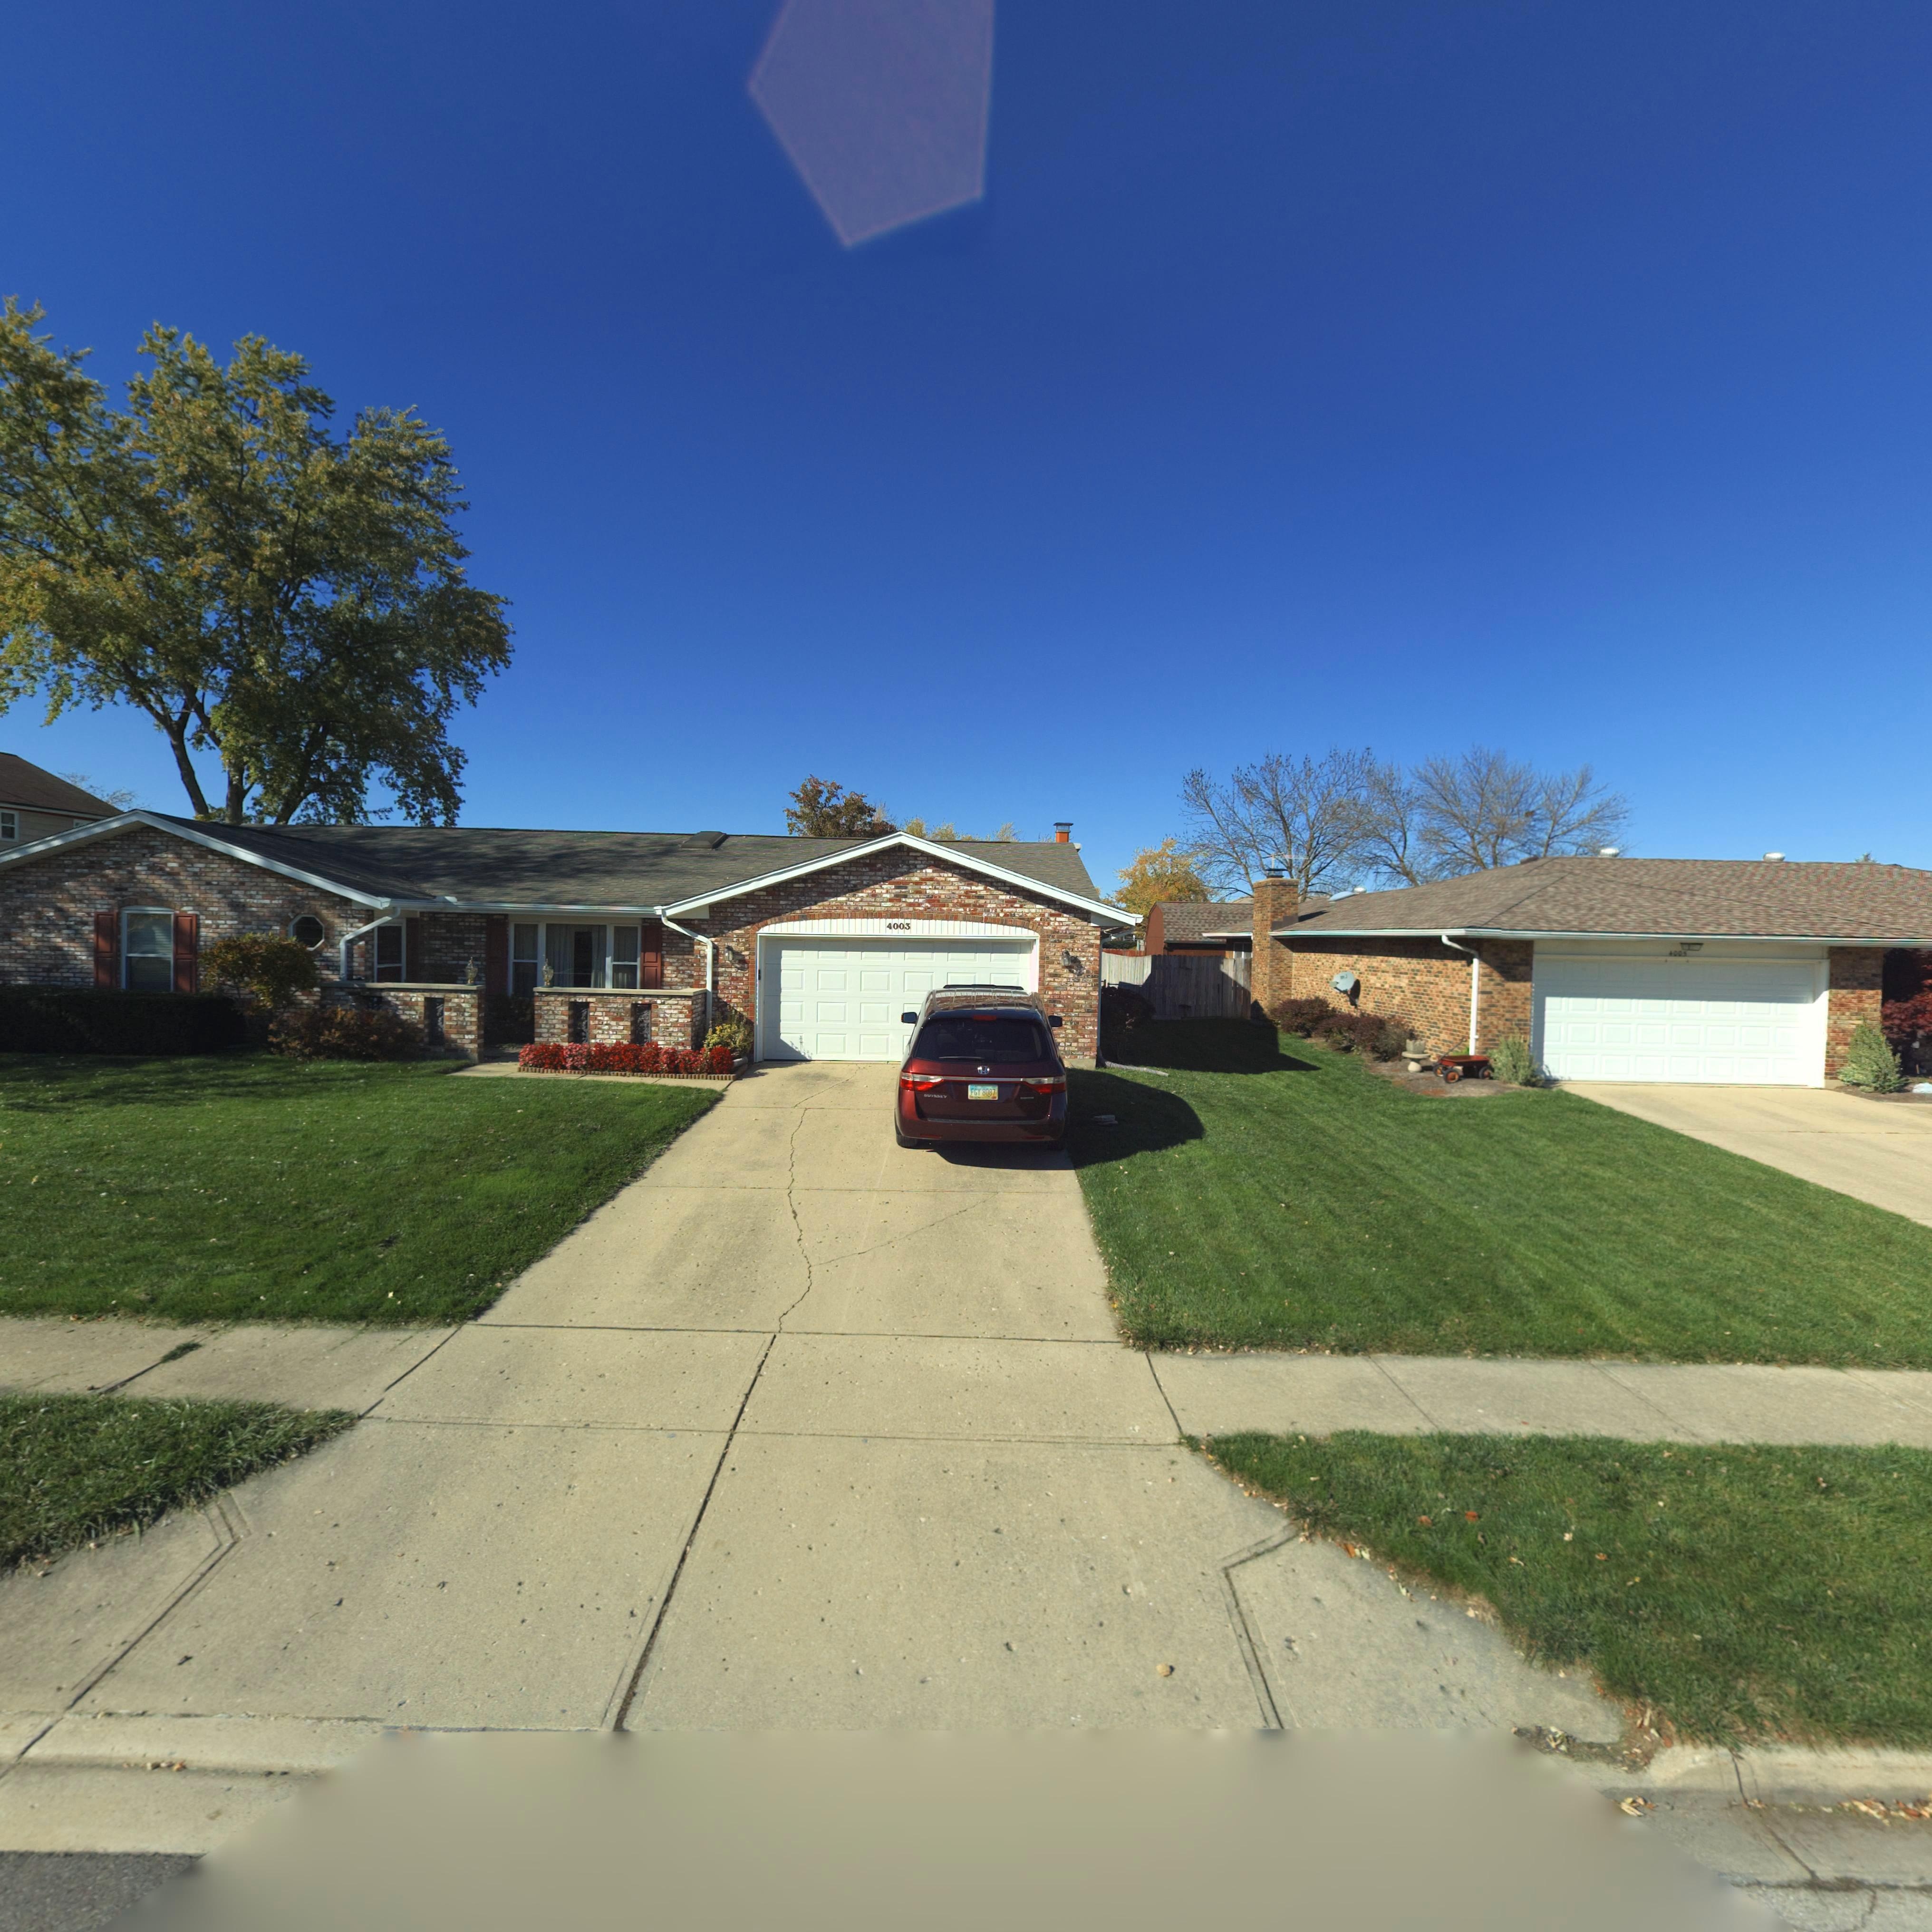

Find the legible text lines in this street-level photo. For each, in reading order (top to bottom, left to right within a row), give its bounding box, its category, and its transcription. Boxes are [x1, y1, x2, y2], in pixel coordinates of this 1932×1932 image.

[886, 923, 911, 930] StreetNumber: 4003
[1668, 950, 1688, 957] StreetNumber: 4005